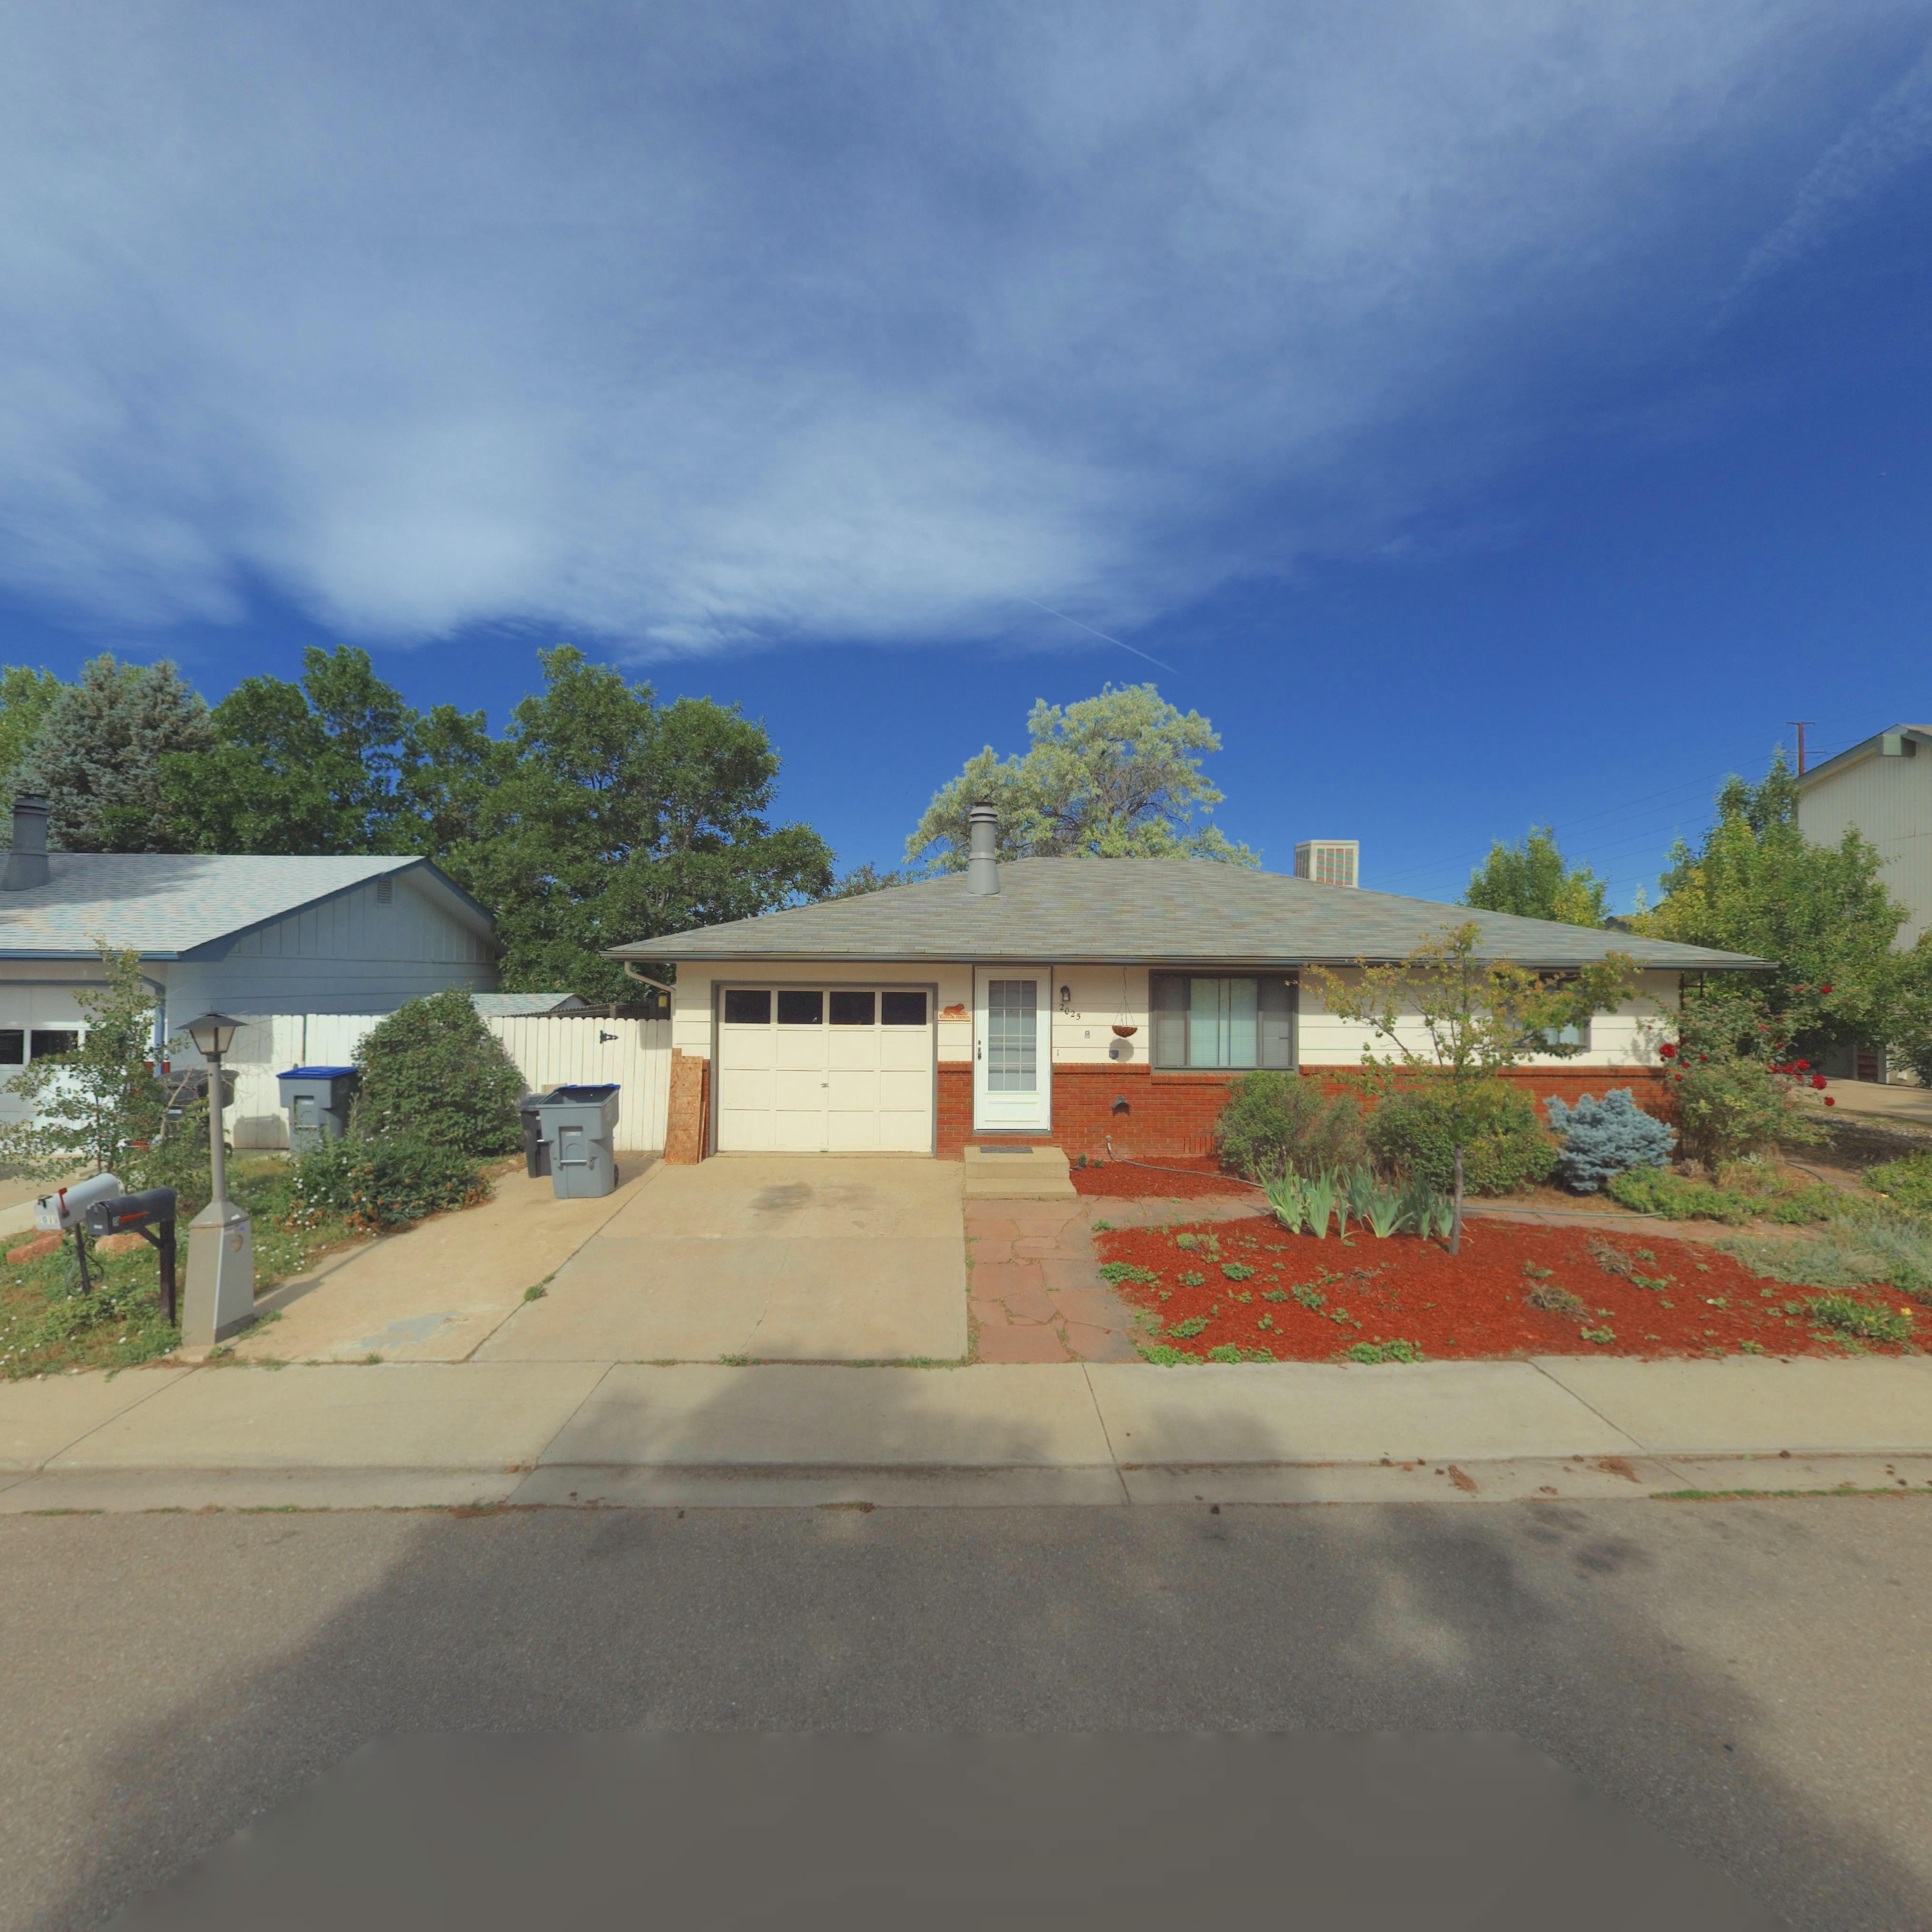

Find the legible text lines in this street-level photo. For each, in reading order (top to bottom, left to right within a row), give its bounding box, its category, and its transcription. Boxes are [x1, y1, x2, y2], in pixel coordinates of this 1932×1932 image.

[1059, 1002, 1081, 1021] StreetNumber: 2025
[36, 1215, 58, 1225] StreetNumber: *019